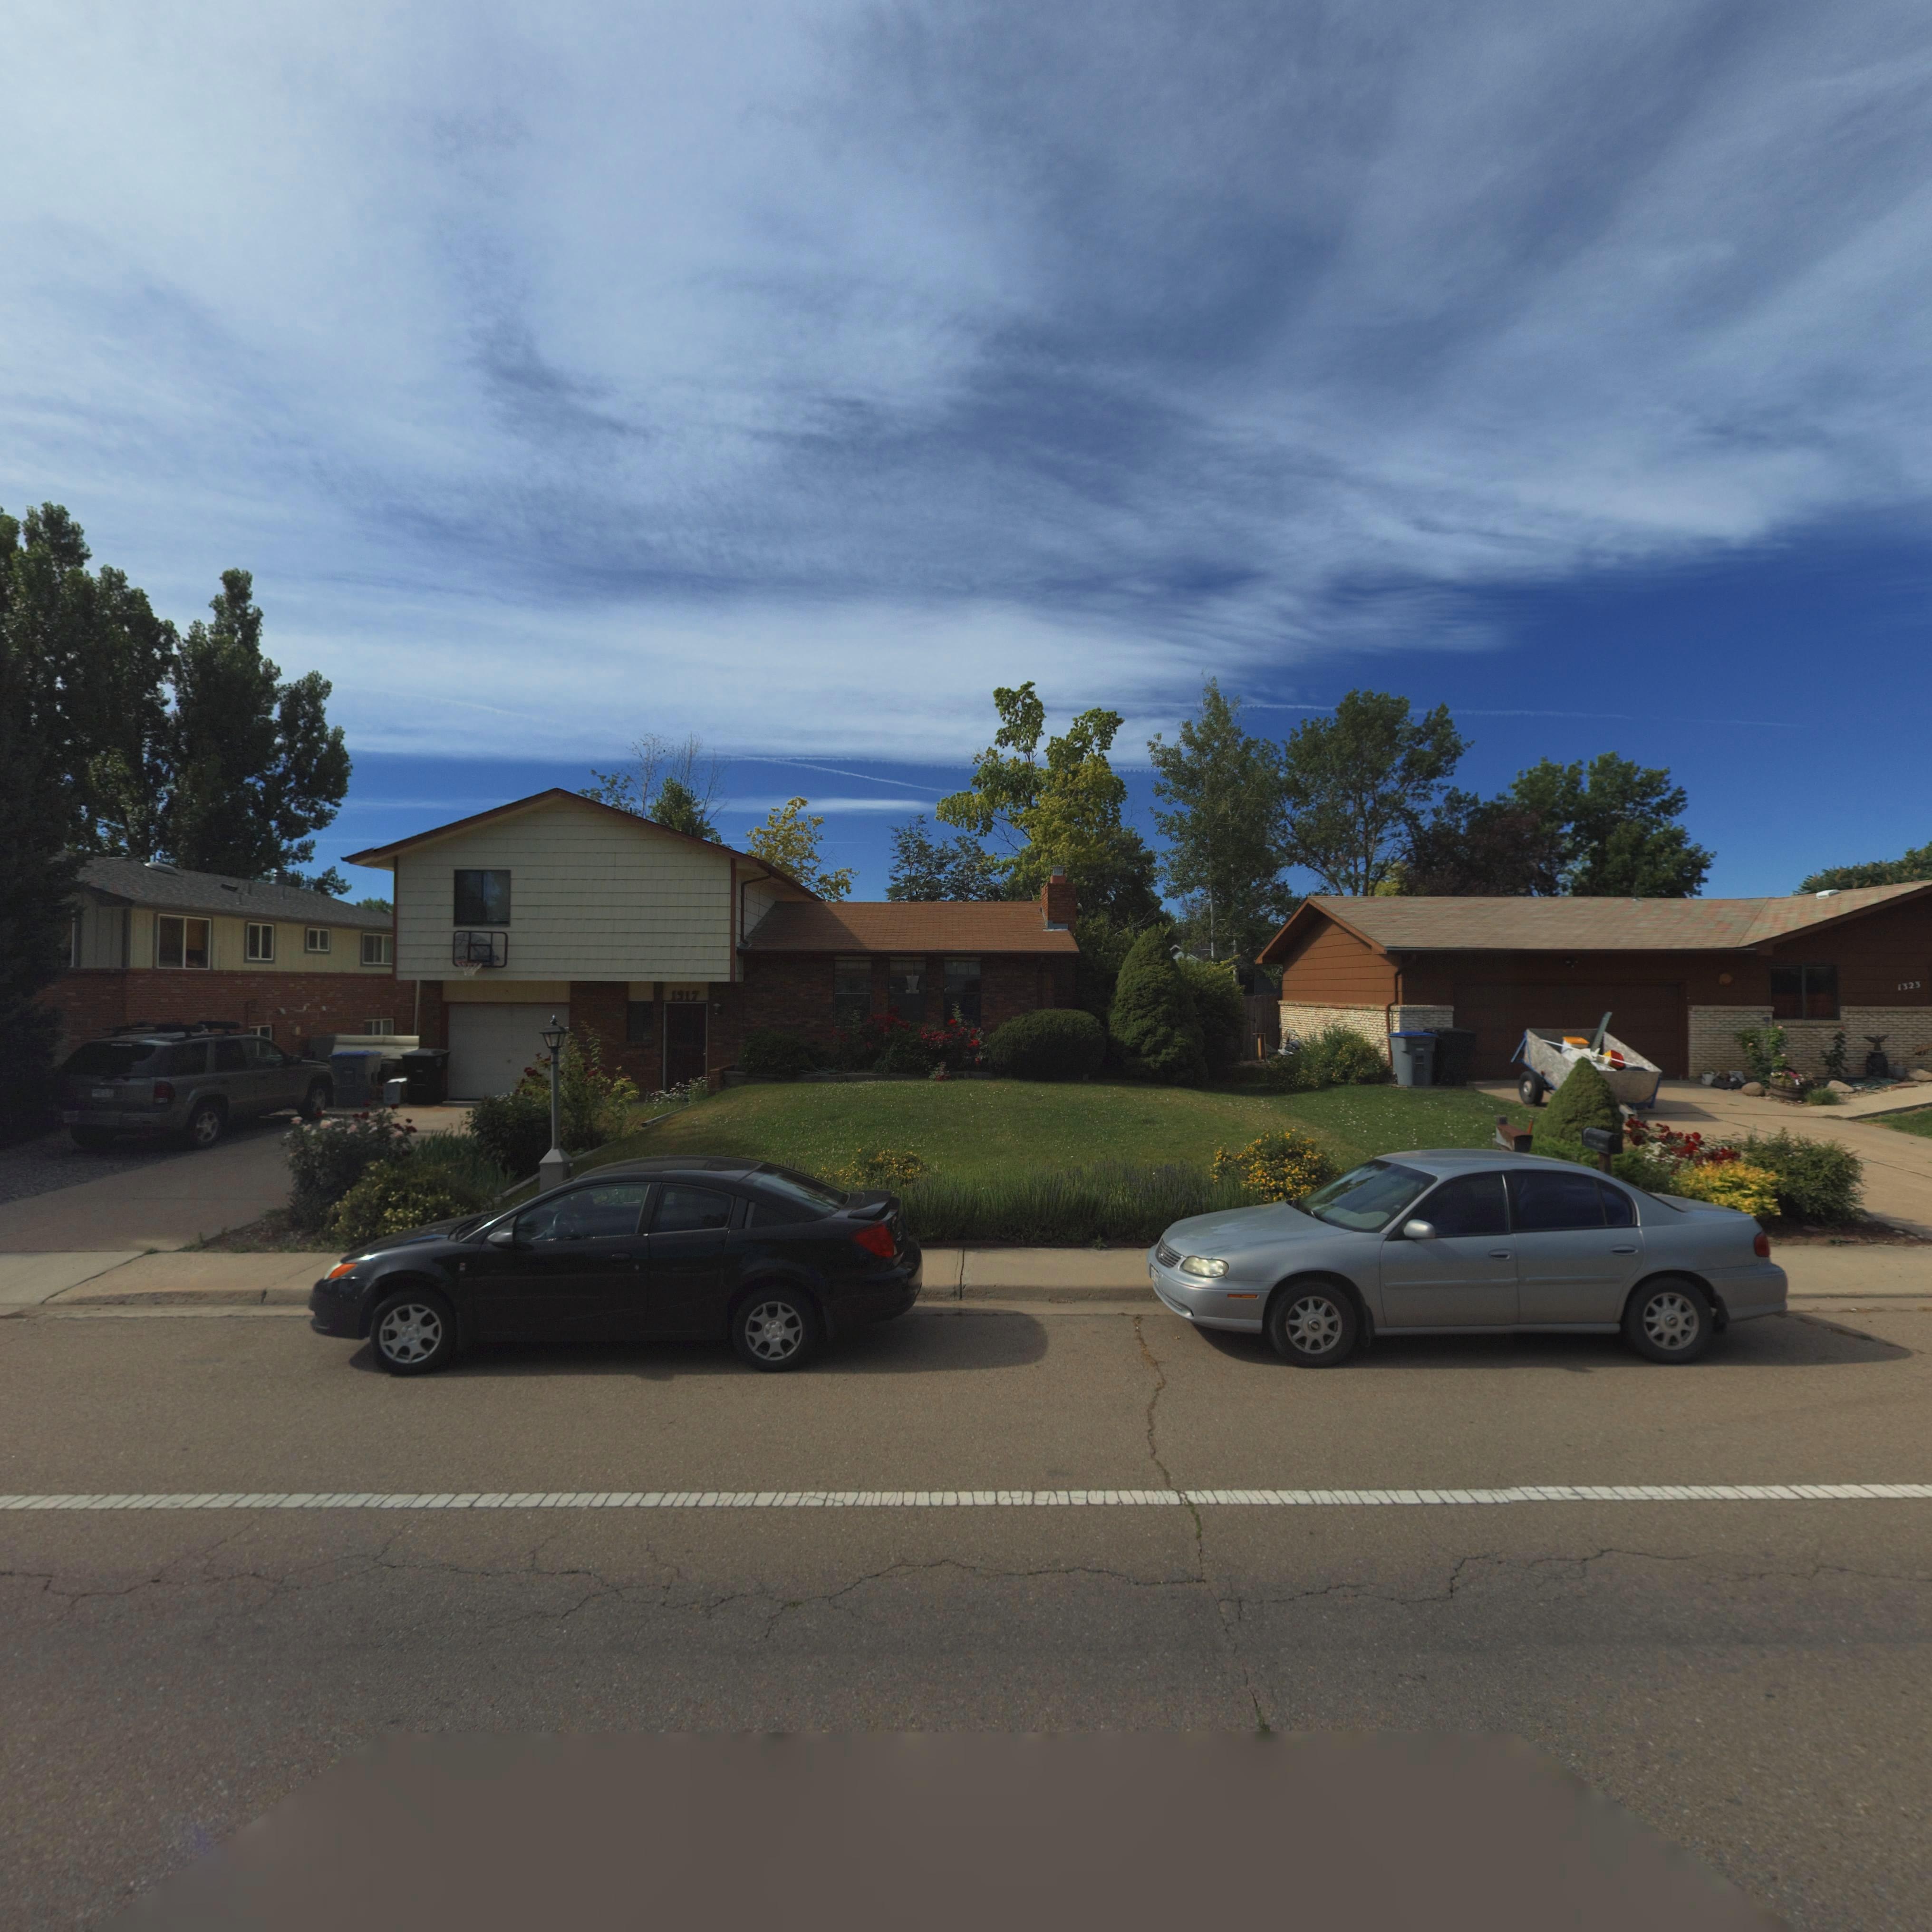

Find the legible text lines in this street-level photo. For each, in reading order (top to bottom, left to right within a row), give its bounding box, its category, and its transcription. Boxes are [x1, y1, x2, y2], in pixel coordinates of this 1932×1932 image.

[1897, 981, 1922, 991] StreetNumber: 1323
[670, 989, 699, 1002] StreetNumber: 1317